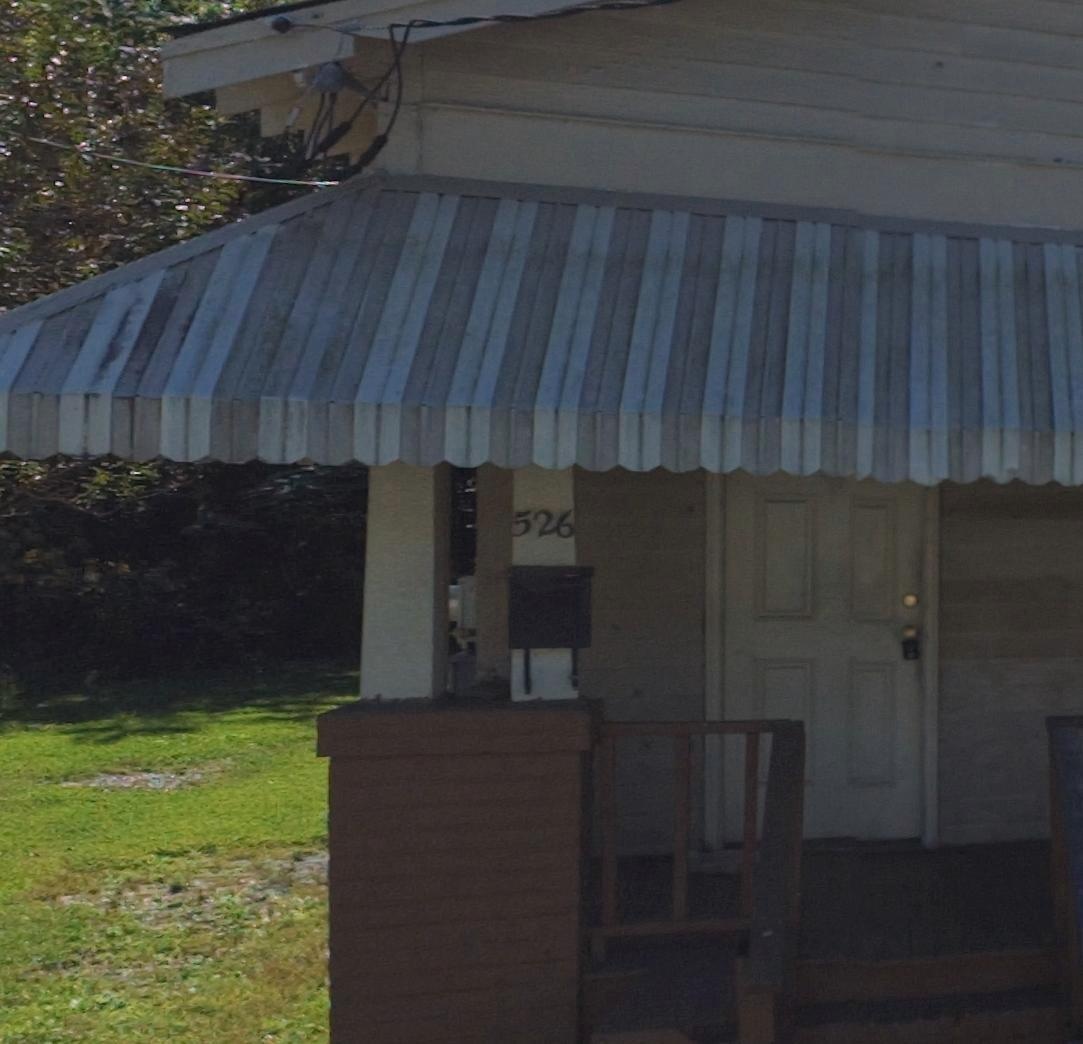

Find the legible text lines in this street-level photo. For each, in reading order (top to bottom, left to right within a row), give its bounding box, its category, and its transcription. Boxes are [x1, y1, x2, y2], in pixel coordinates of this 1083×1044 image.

[510, 508, 578, 541] StreetNumber: 526